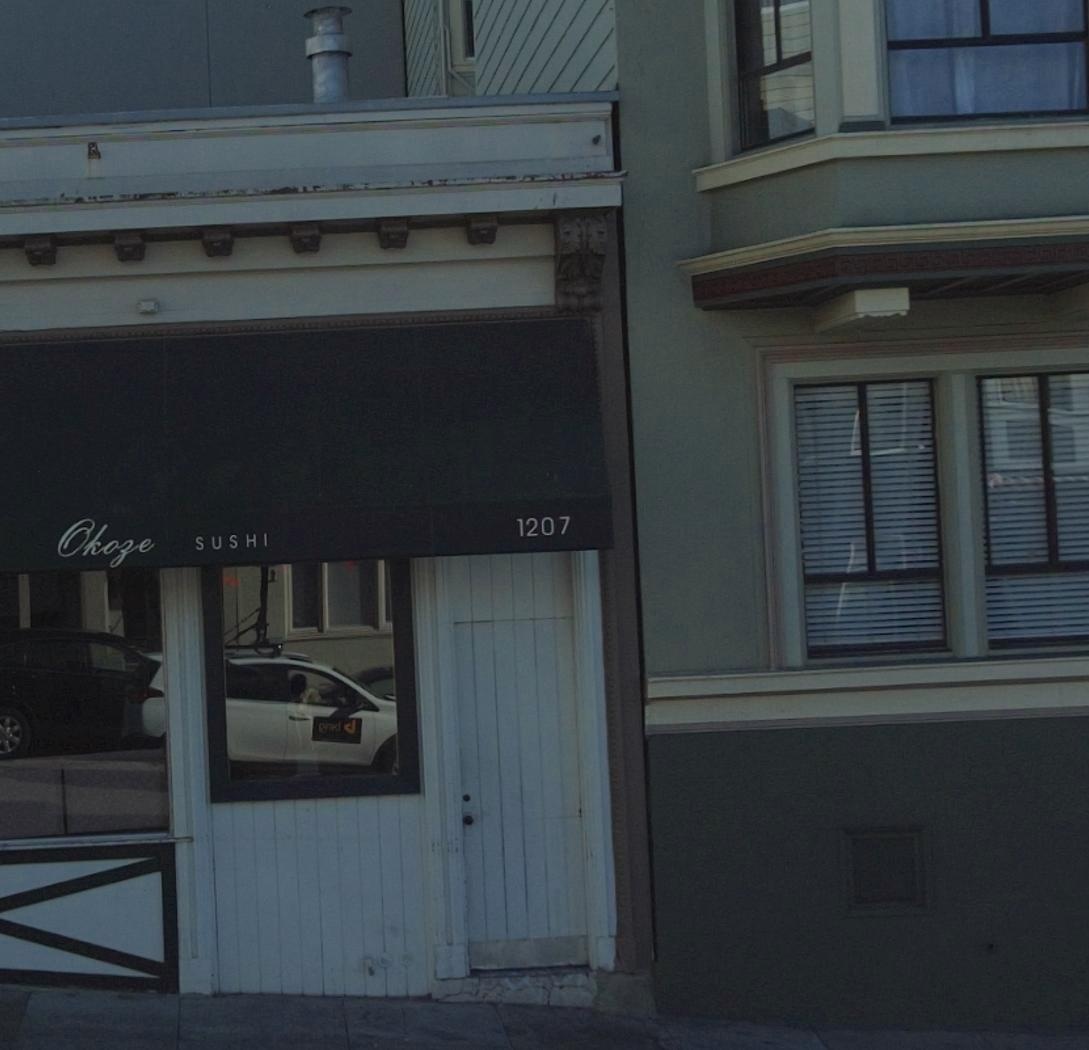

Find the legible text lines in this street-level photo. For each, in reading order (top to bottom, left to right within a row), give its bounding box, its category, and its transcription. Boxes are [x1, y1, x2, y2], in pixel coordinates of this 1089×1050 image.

[54, 517, 269, 570] BusinessName: Okoze SUSHI
[515, 514, 575, 539] StreetNumber: 1207